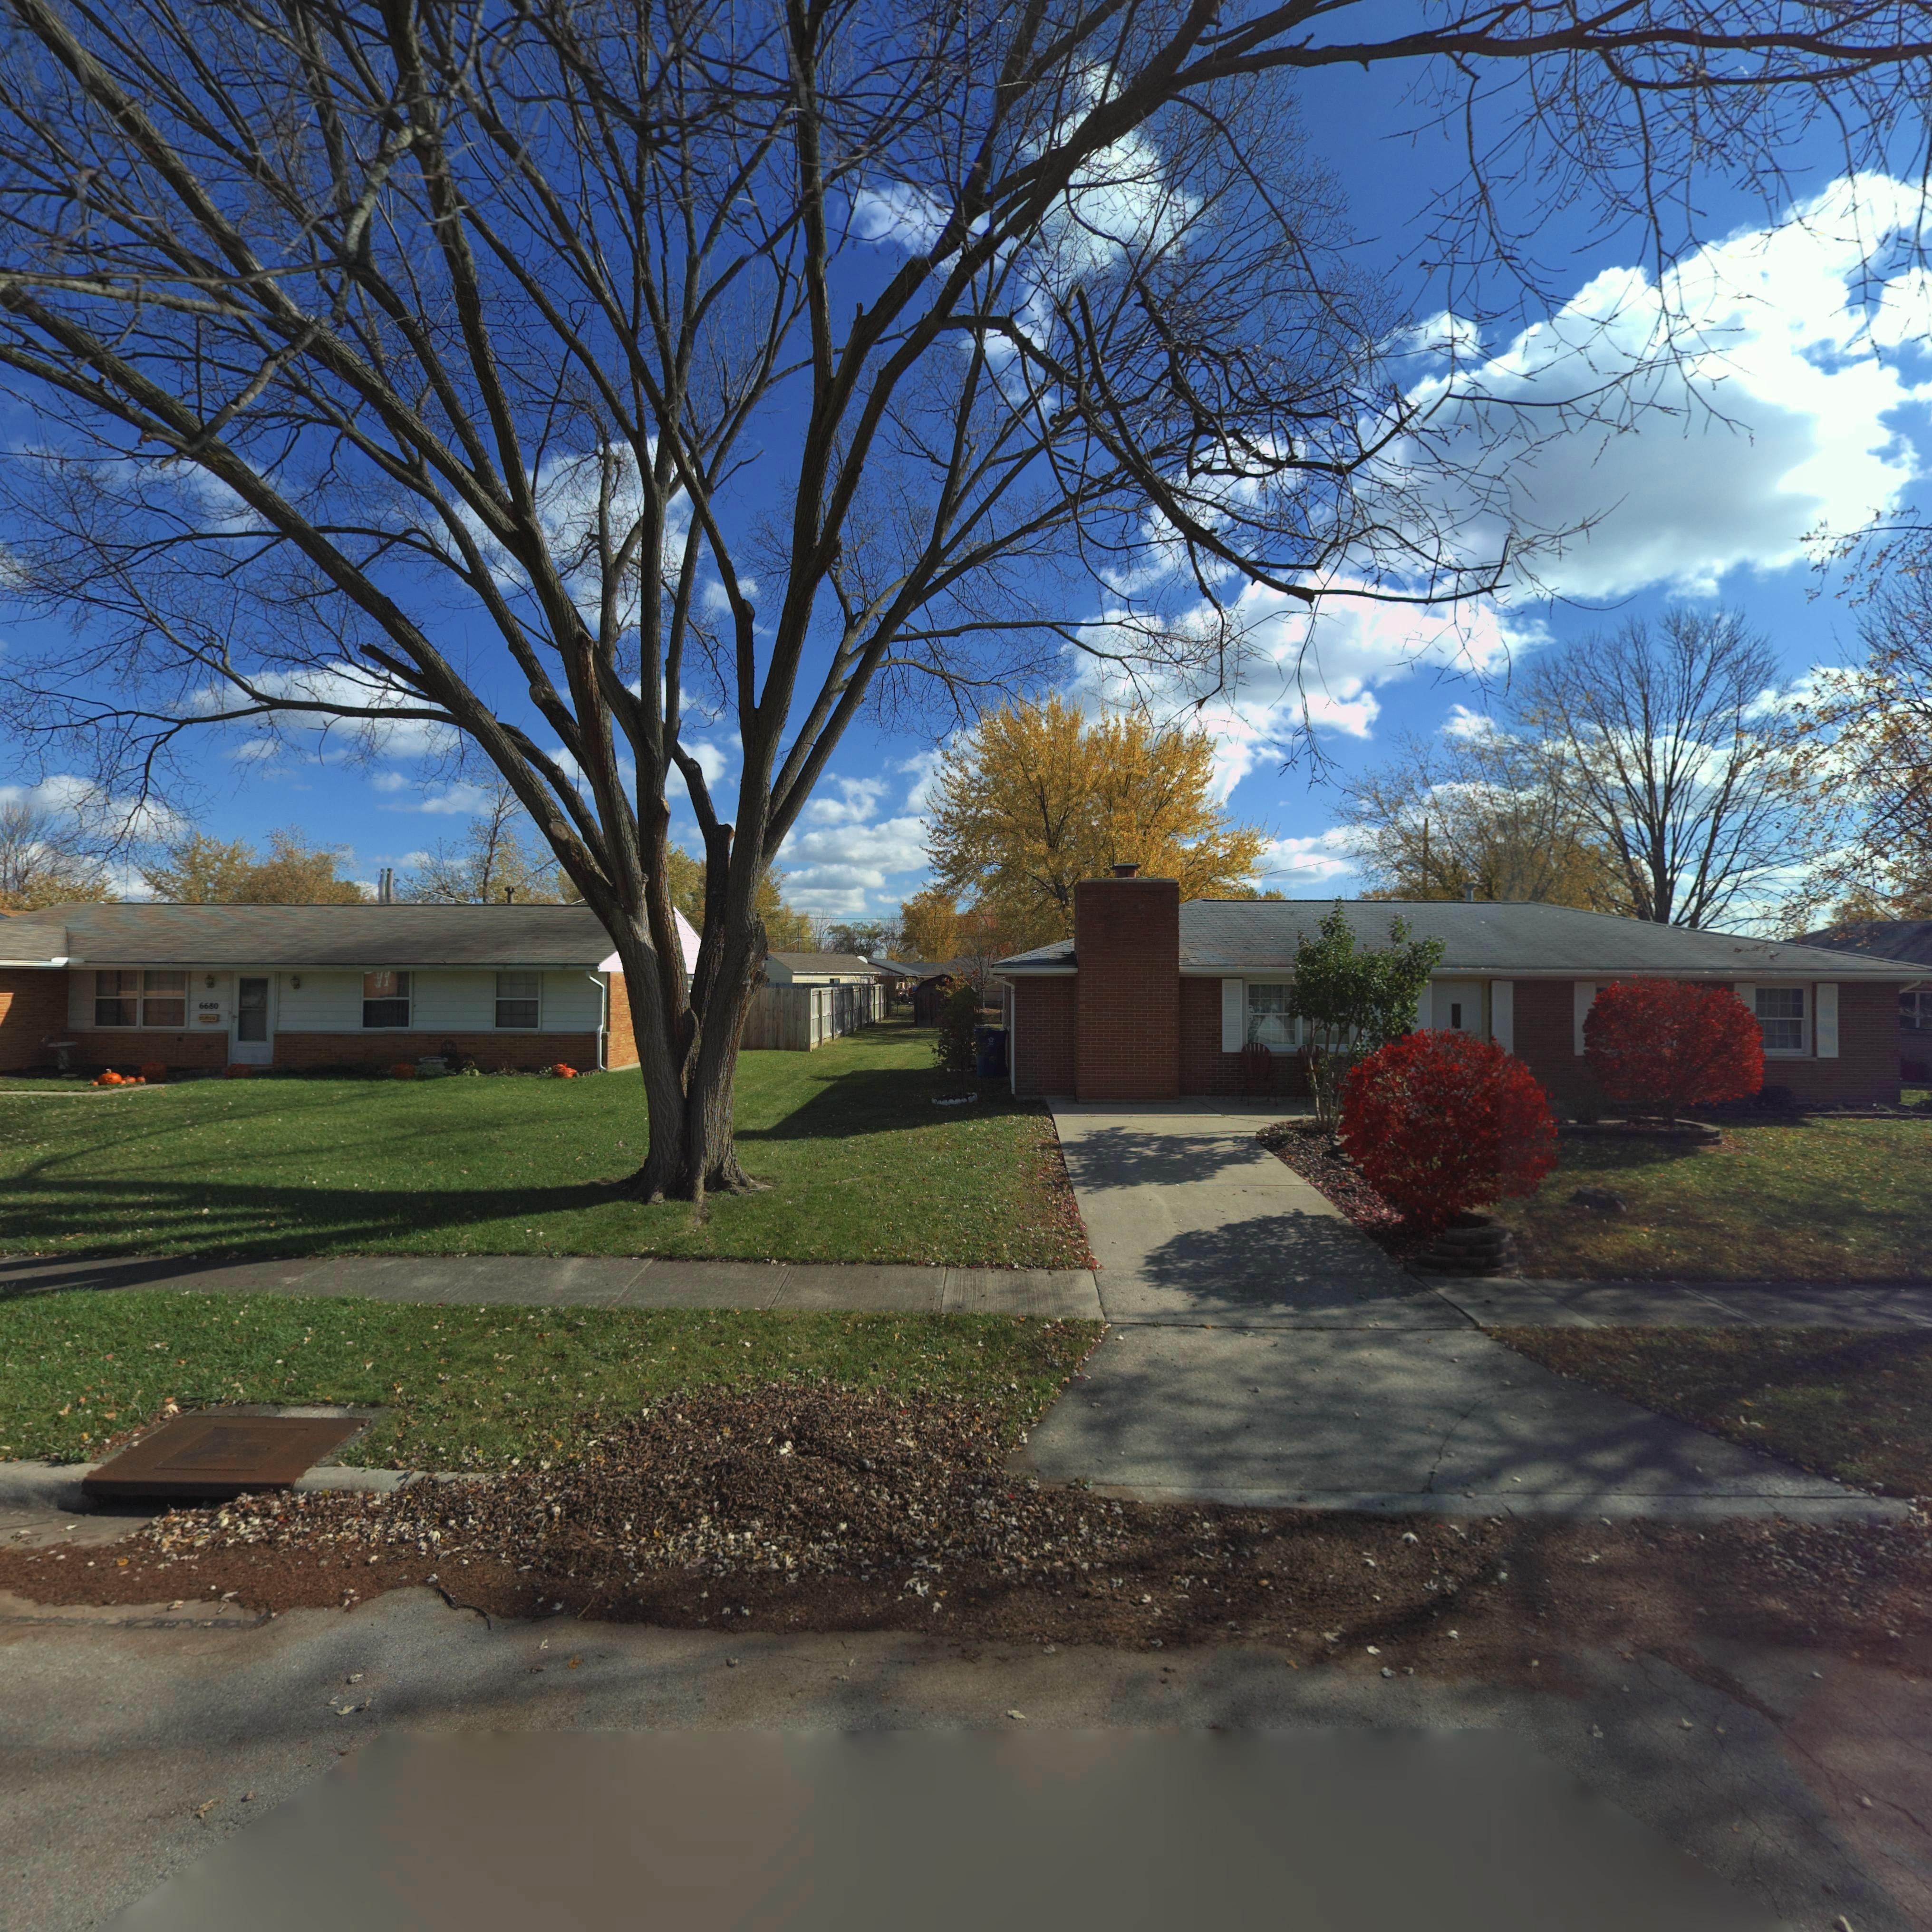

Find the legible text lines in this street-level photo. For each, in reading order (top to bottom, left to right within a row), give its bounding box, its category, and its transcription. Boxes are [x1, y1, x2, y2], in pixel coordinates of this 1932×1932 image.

[199, 1002, 218, 1009] StreetNumber: 6680